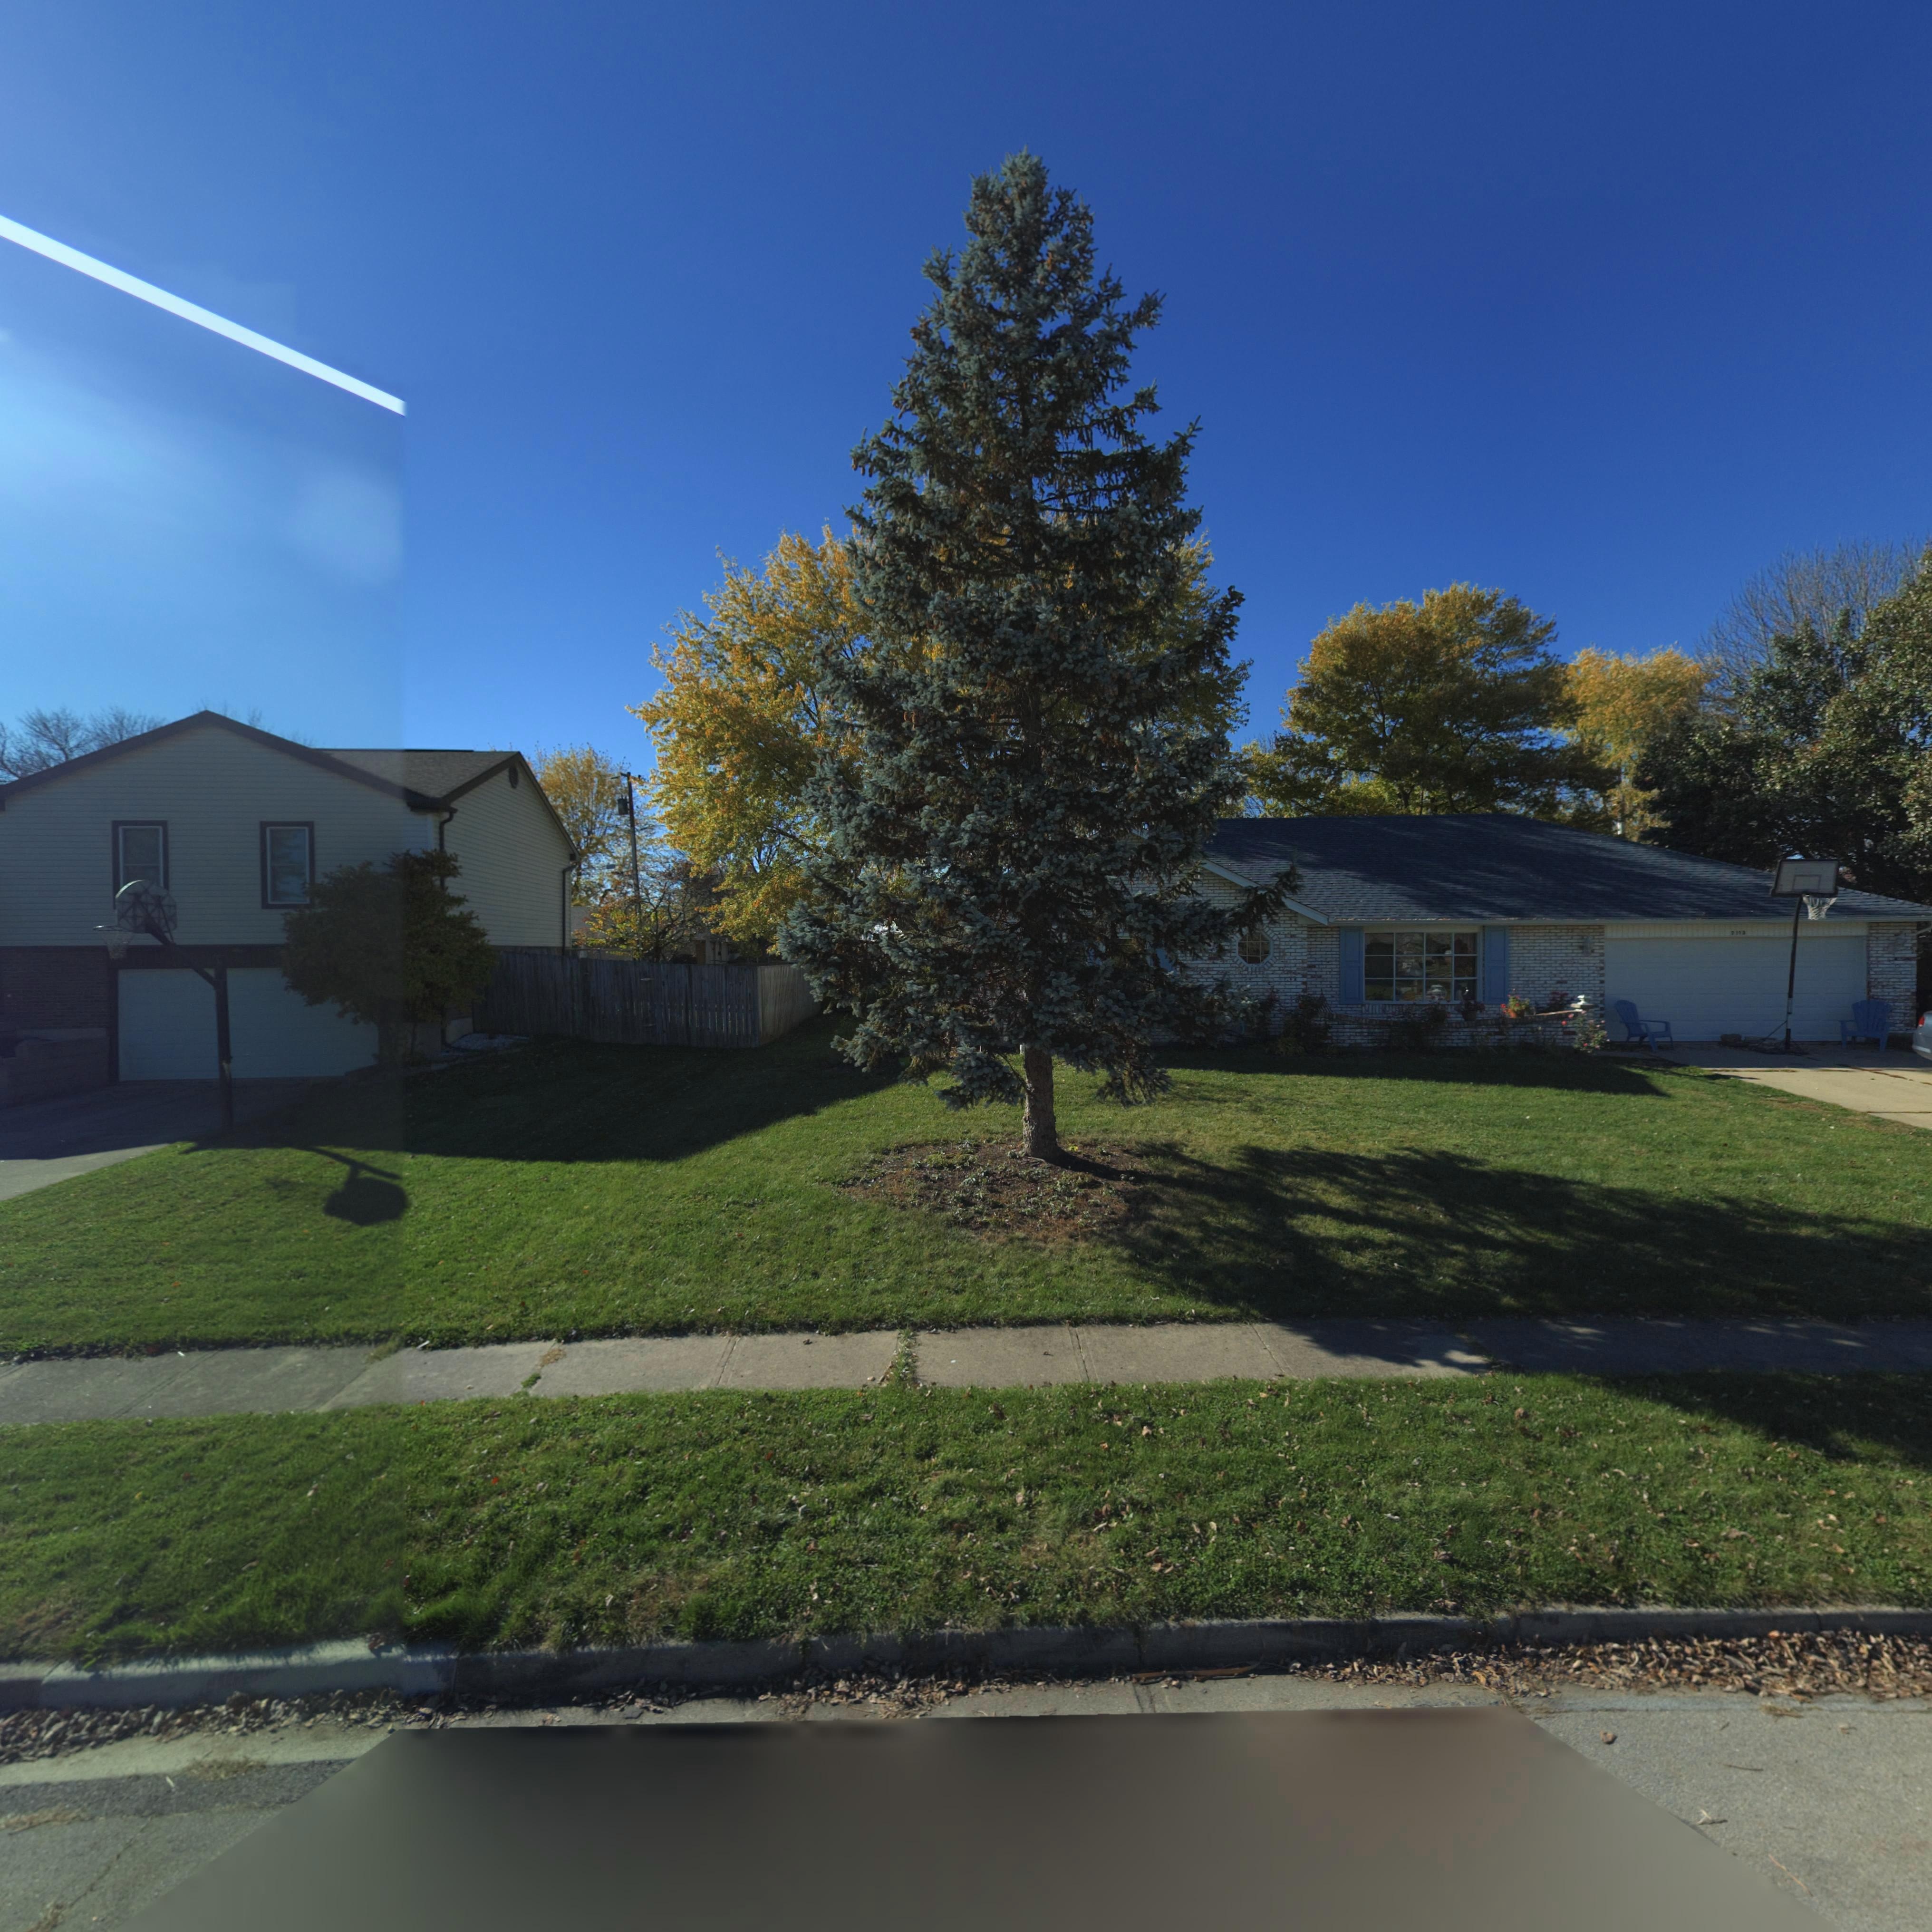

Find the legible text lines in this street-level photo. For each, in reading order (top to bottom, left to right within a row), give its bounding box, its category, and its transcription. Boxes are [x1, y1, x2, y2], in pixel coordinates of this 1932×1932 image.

[1730, 929, 1746, 936] StreetNumber: 711*